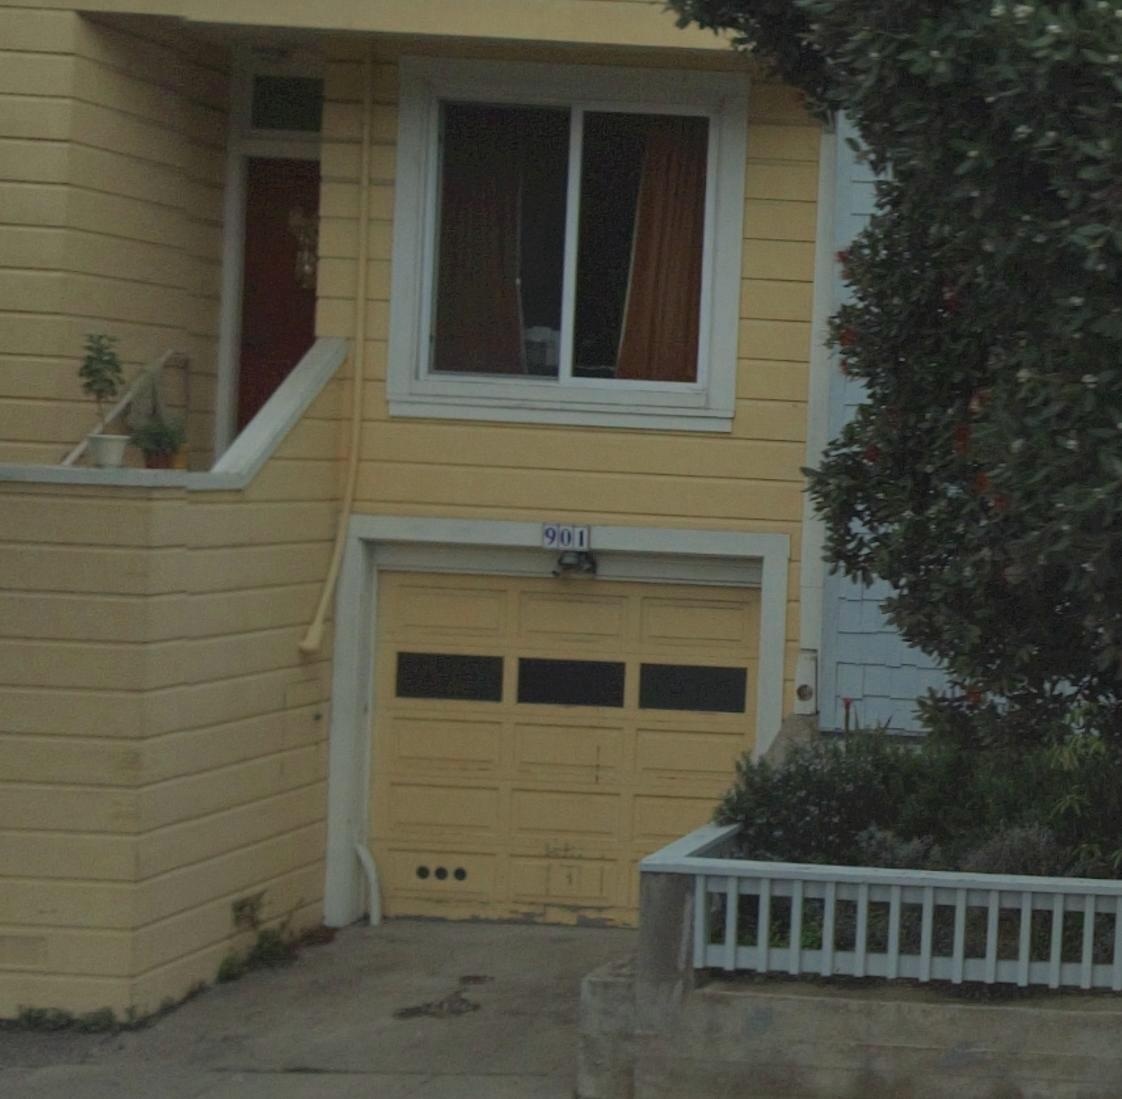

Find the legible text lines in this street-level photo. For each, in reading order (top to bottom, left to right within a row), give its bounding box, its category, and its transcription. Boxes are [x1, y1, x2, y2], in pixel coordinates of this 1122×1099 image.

[544, 526, 585, 548] StreetNumber: 901